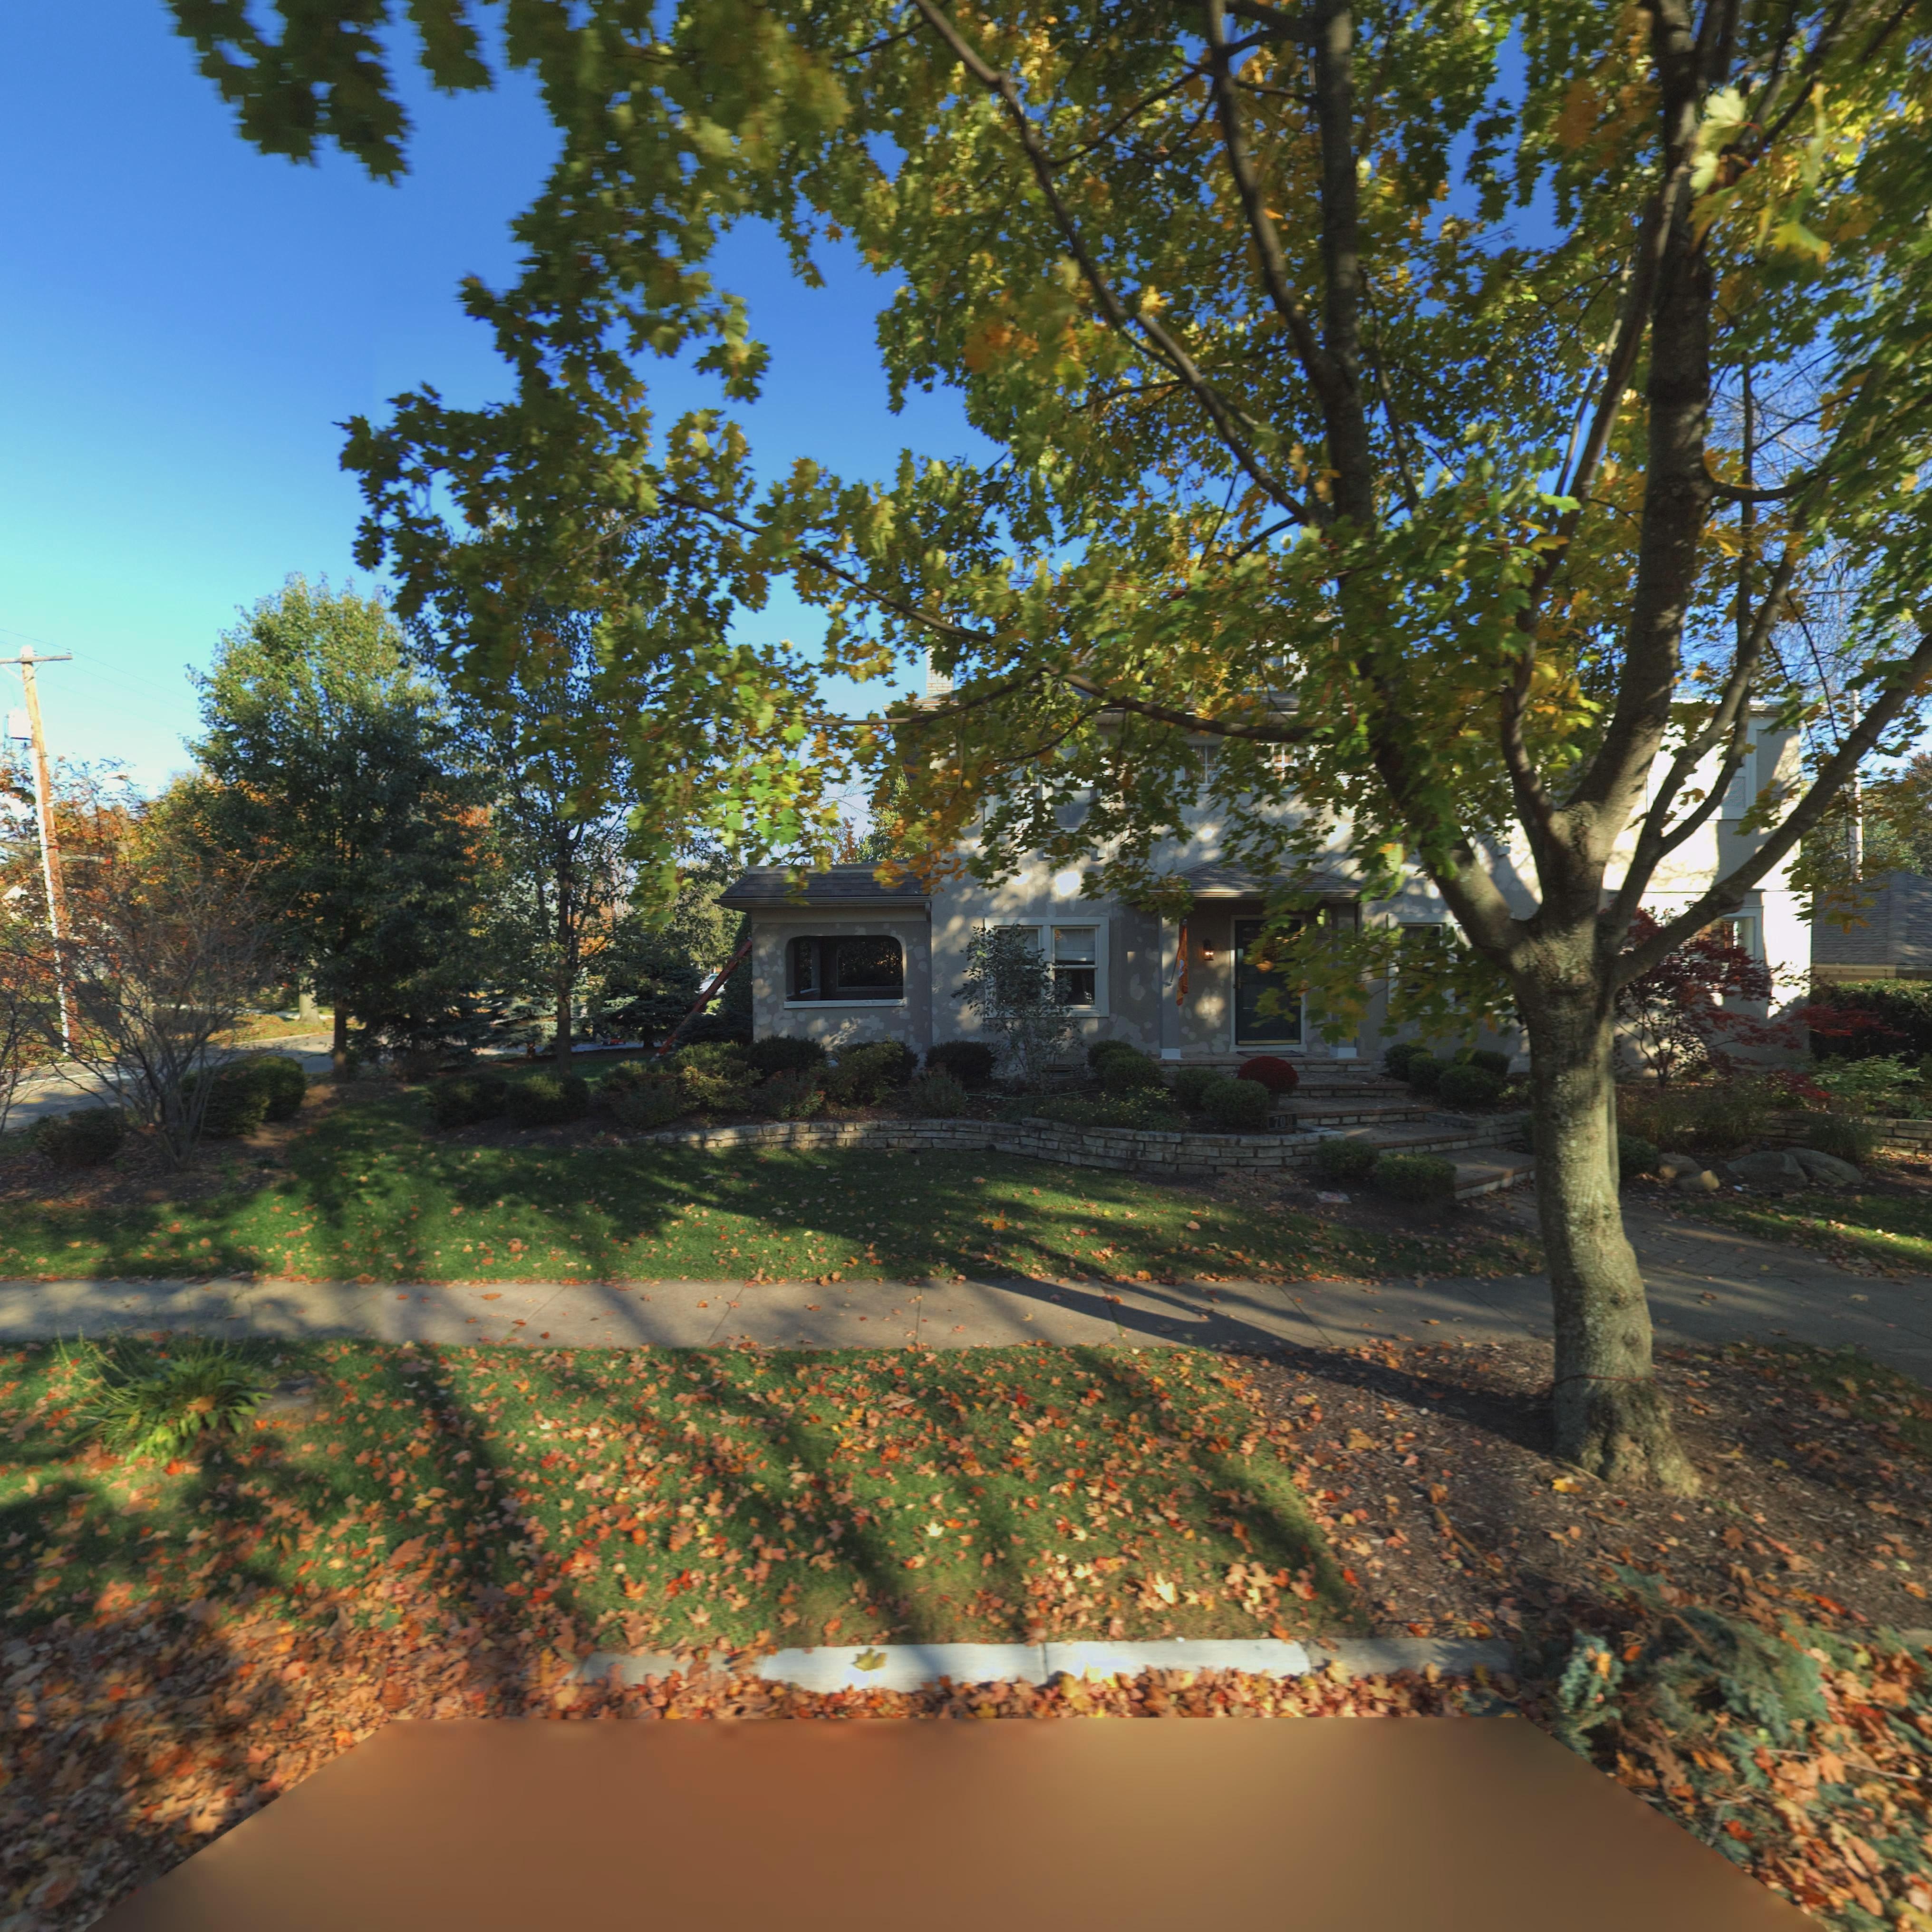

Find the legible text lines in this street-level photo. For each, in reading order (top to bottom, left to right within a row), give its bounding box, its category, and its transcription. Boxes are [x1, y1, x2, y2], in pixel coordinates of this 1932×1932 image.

[1273, 1114, 1294, 1130] StreetNumber: 700